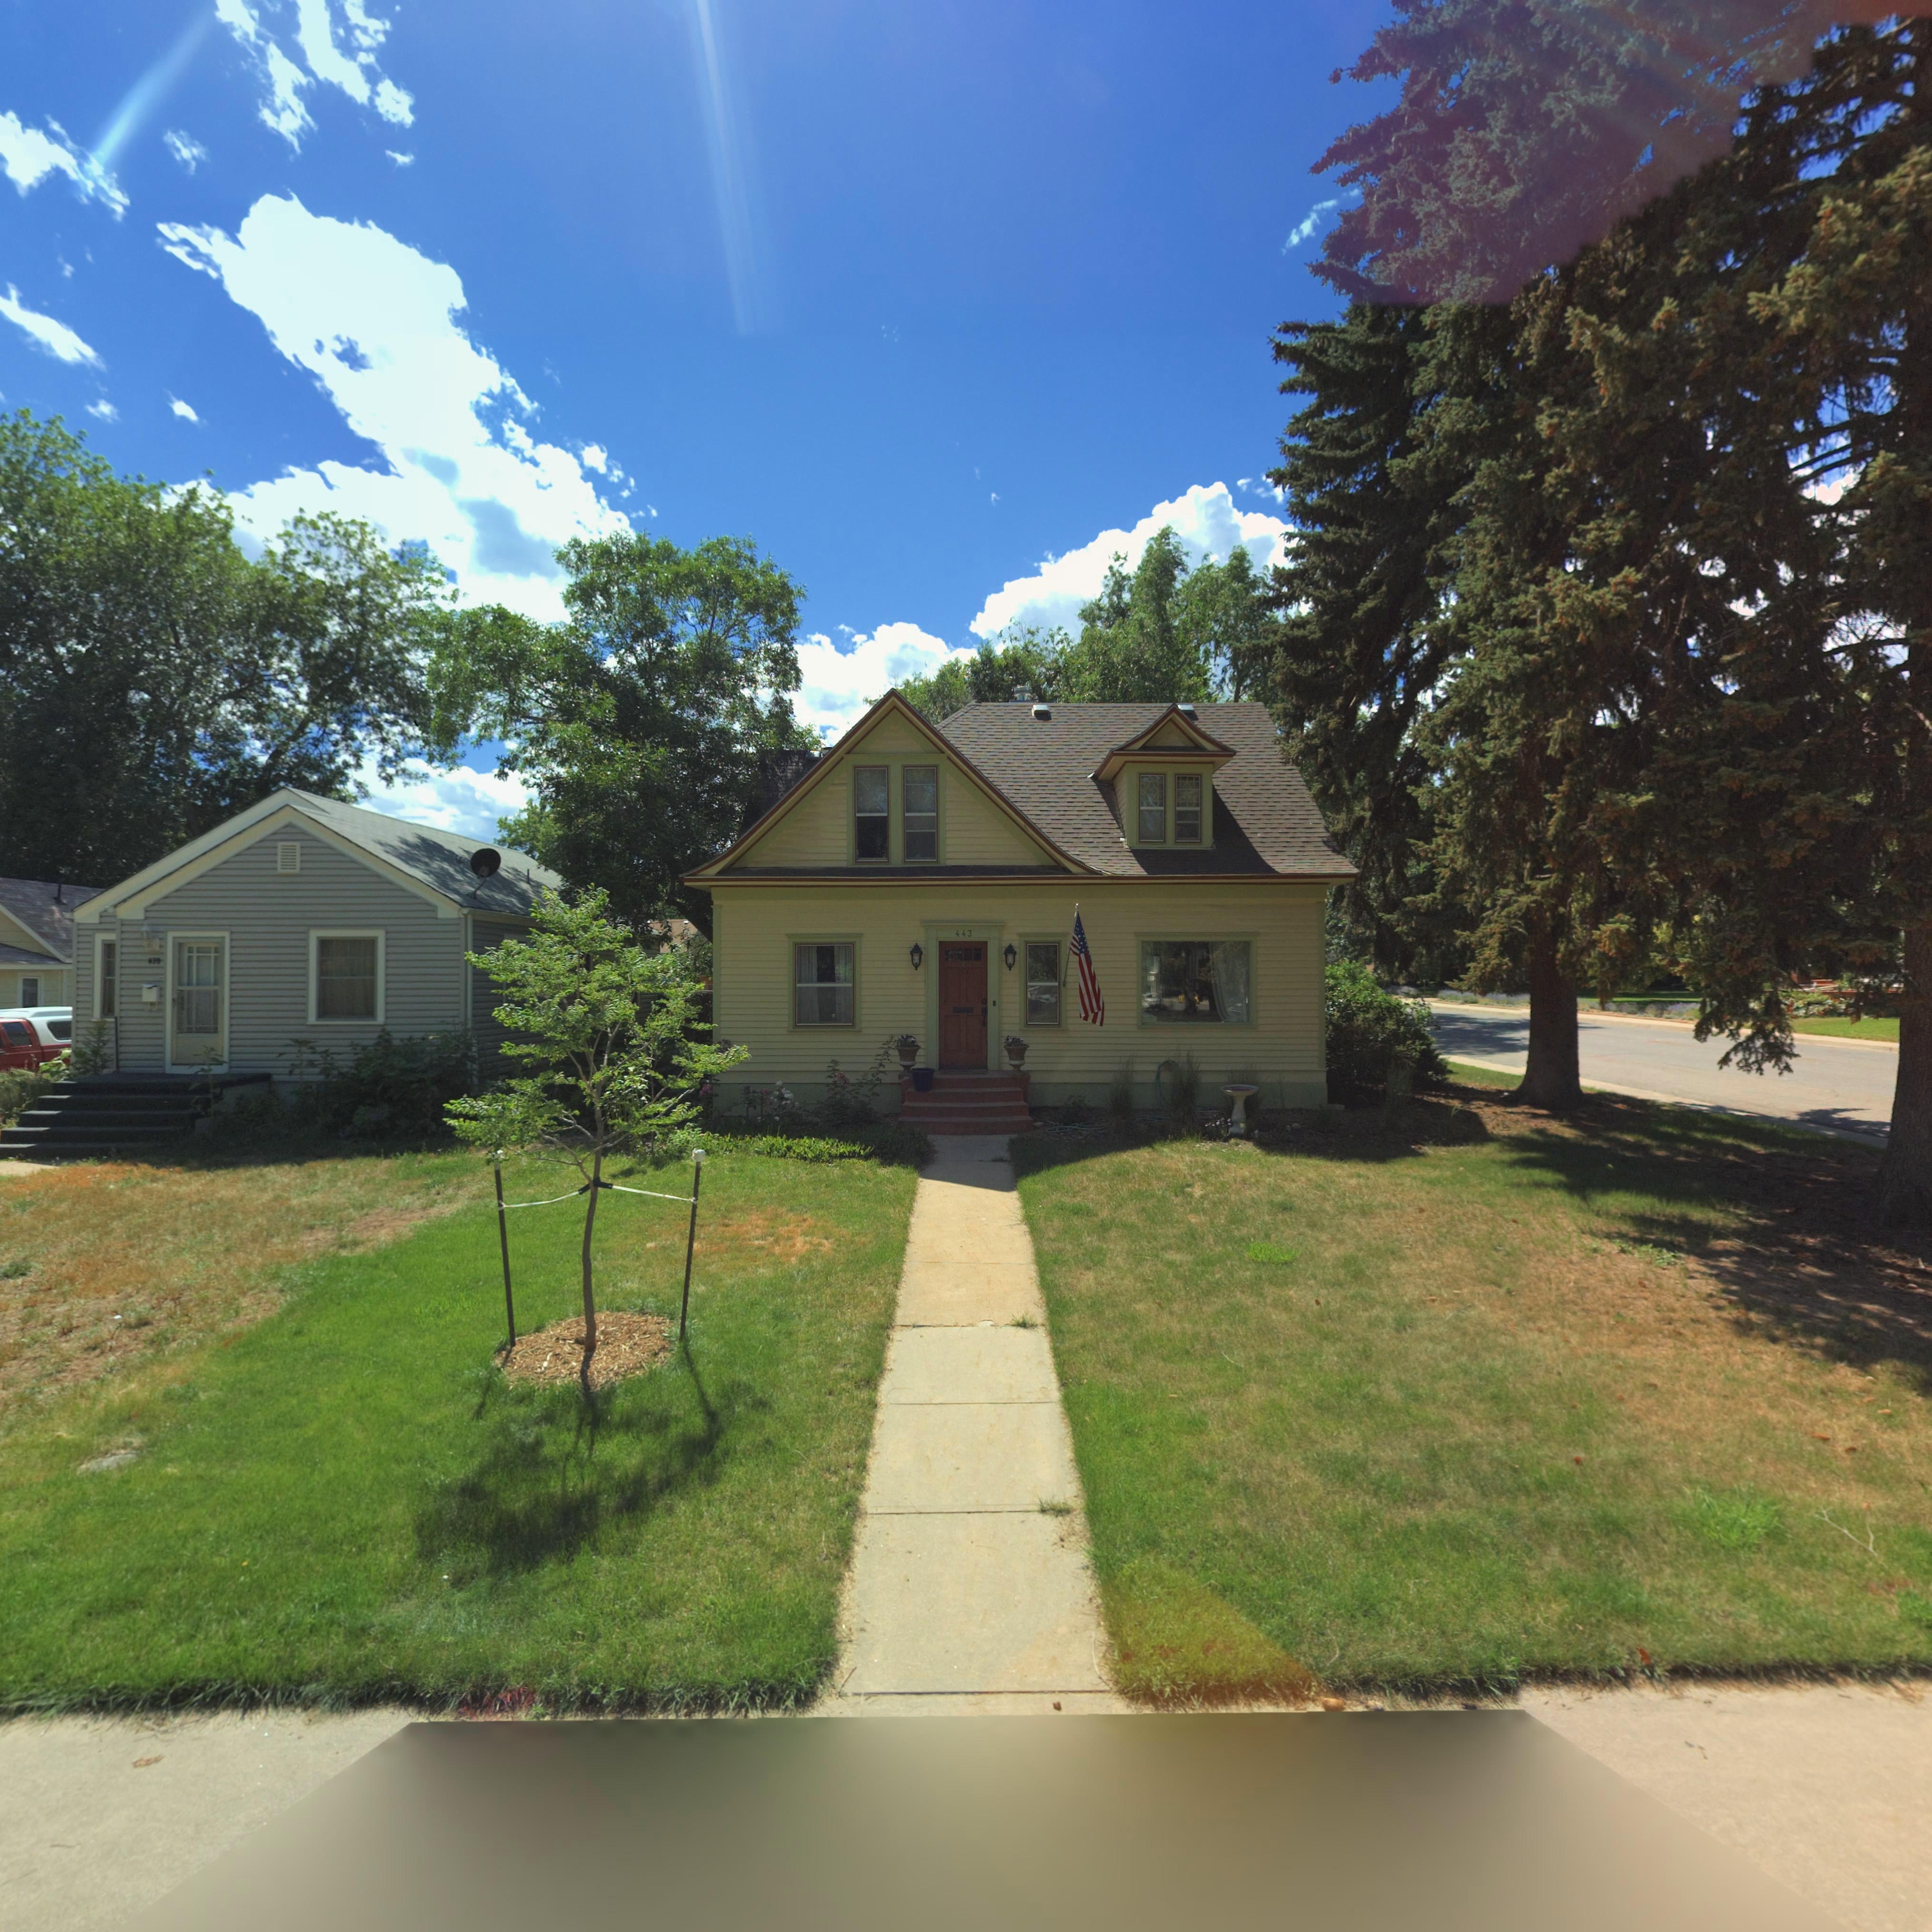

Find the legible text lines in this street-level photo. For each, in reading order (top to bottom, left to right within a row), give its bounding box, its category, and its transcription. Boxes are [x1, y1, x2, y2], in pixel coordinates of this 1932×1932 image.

[955, 929, 972, 937] StreetNumber: 443
[147, 956, 161, 964] StreetNumber: 4**